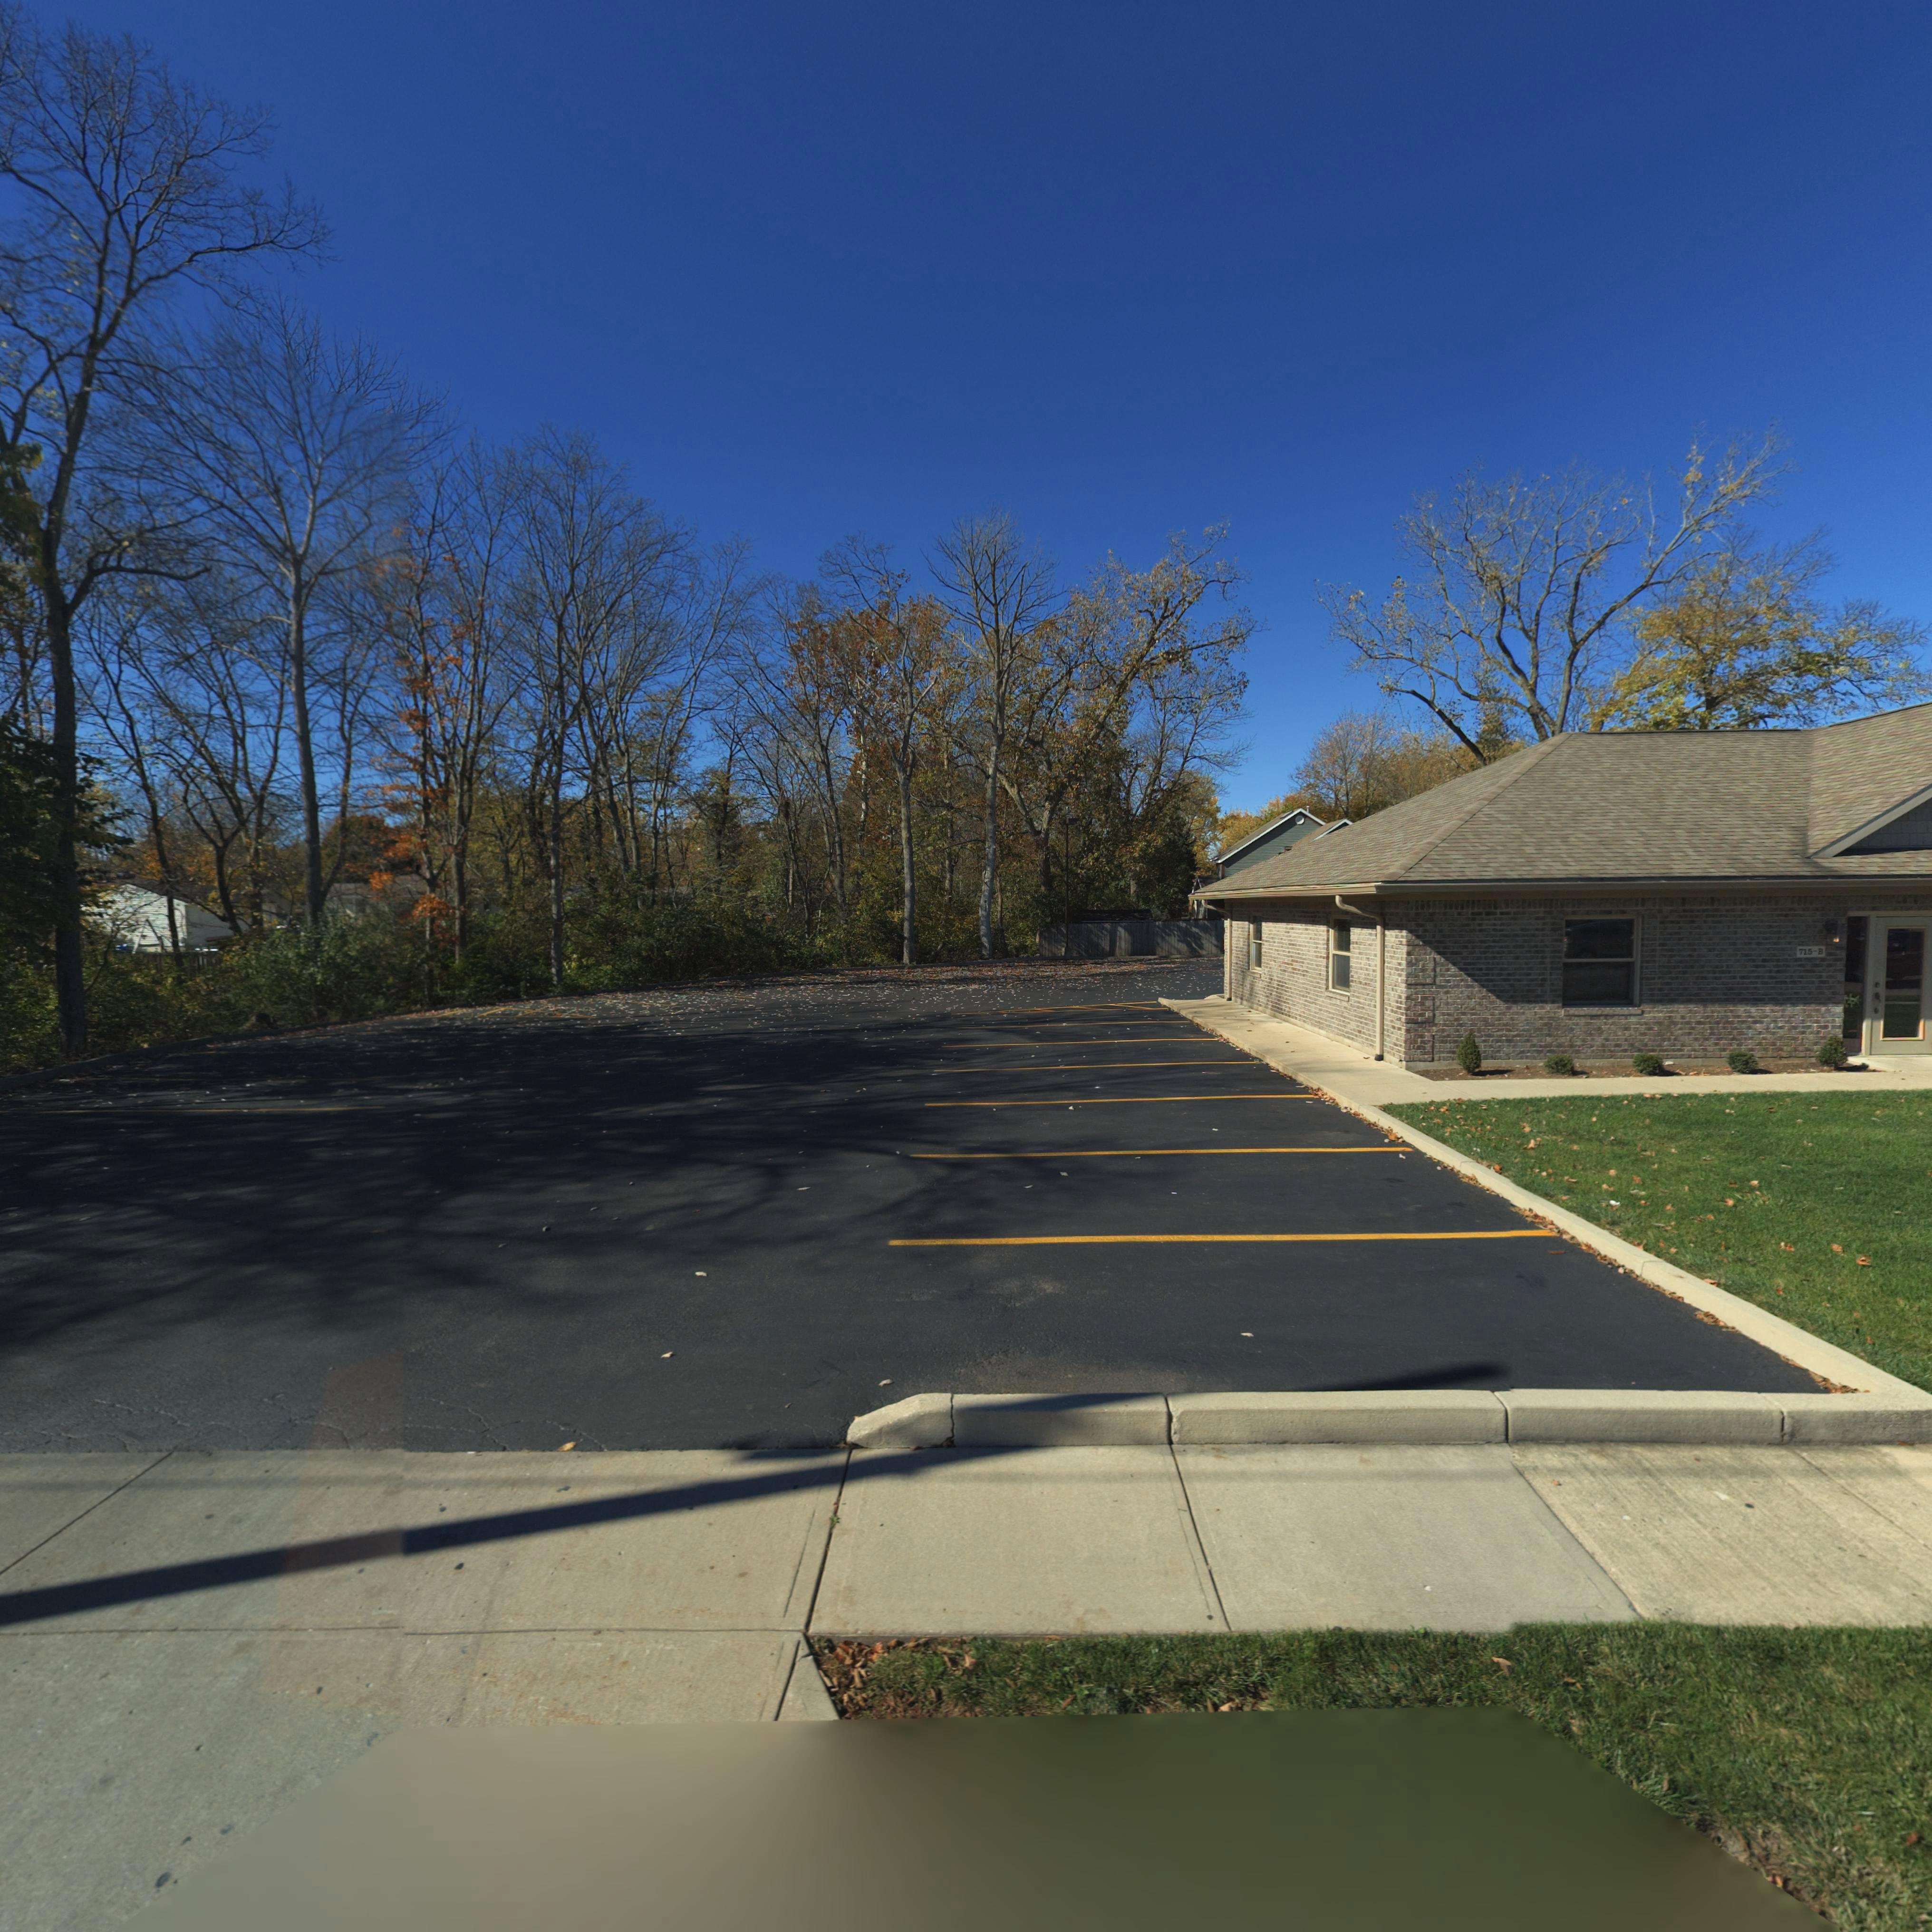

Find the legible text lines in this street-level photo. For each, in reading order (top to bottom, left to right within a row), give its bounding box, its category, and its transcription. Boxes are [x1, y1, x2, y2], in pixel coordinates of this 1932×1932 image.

[1797, 947, 1825, 956] StreetNumber: 715-B